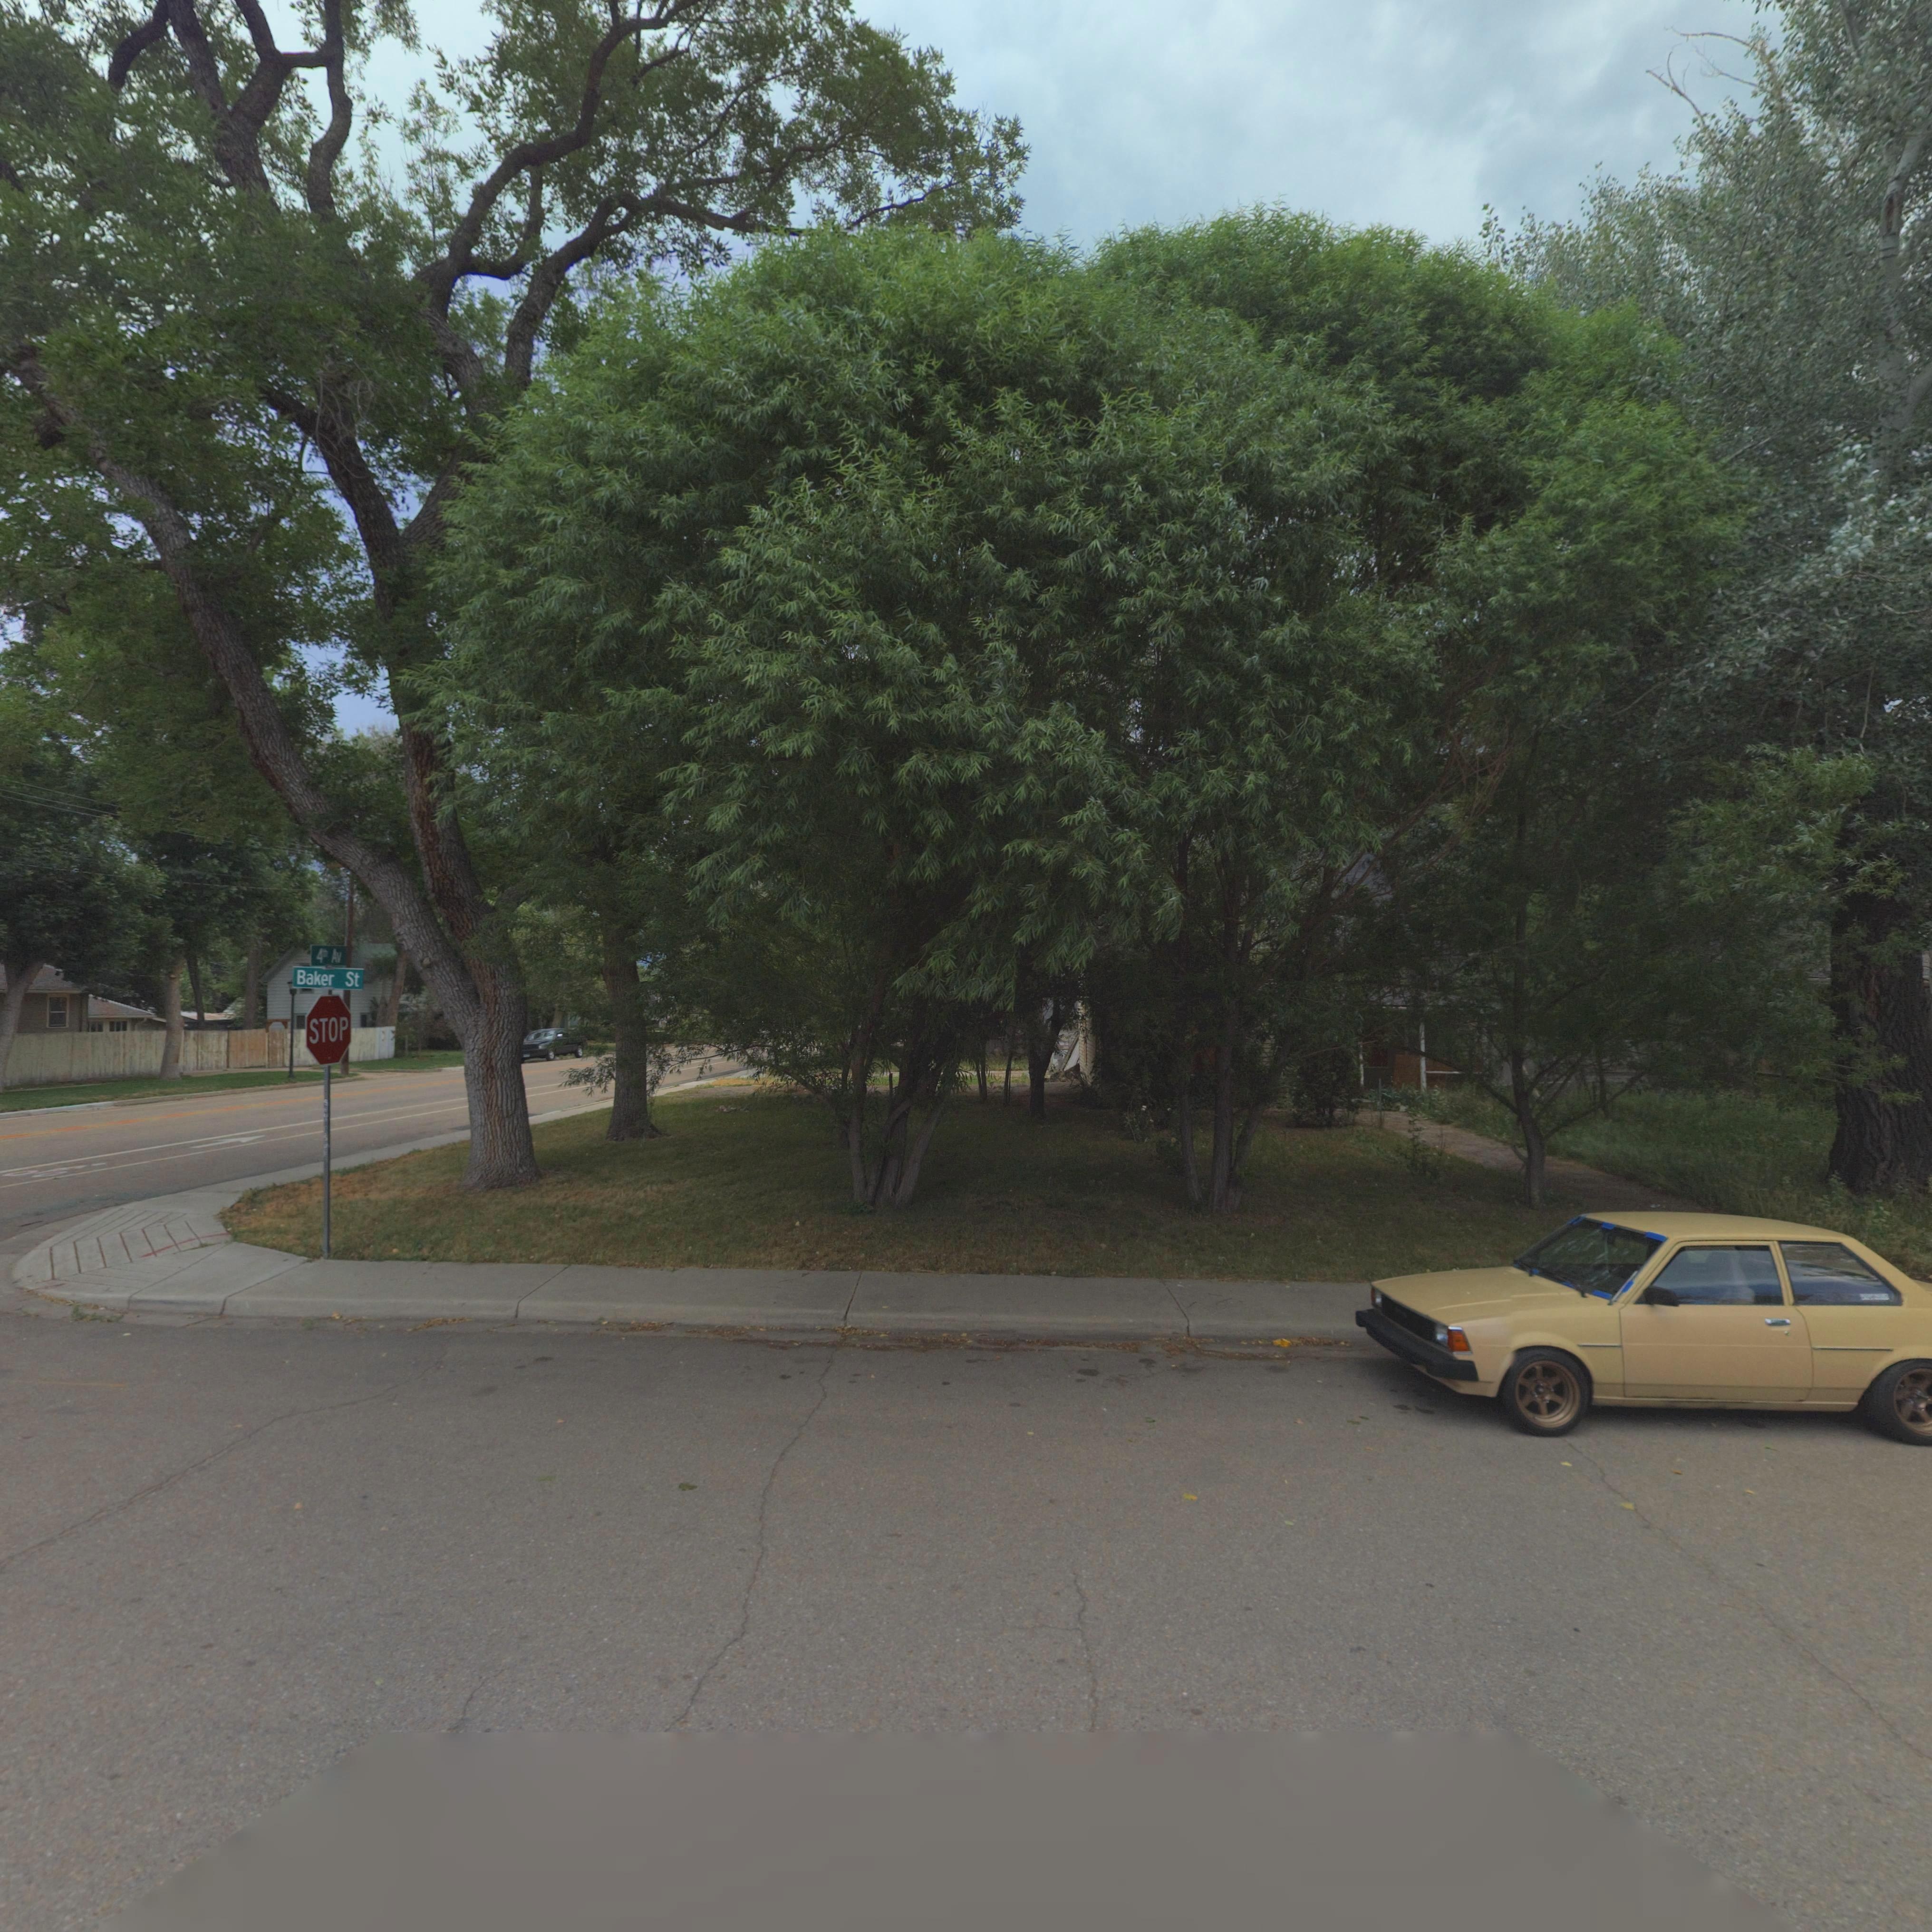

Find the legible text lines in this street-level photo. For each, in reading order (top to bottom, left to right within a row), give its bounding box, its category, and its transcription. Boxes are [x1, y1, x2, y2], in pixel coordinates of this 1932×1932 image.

[316, 947, 343, 964] StreetName: 4th Av
[295, 968, 360, 987] StreetName: Baker St